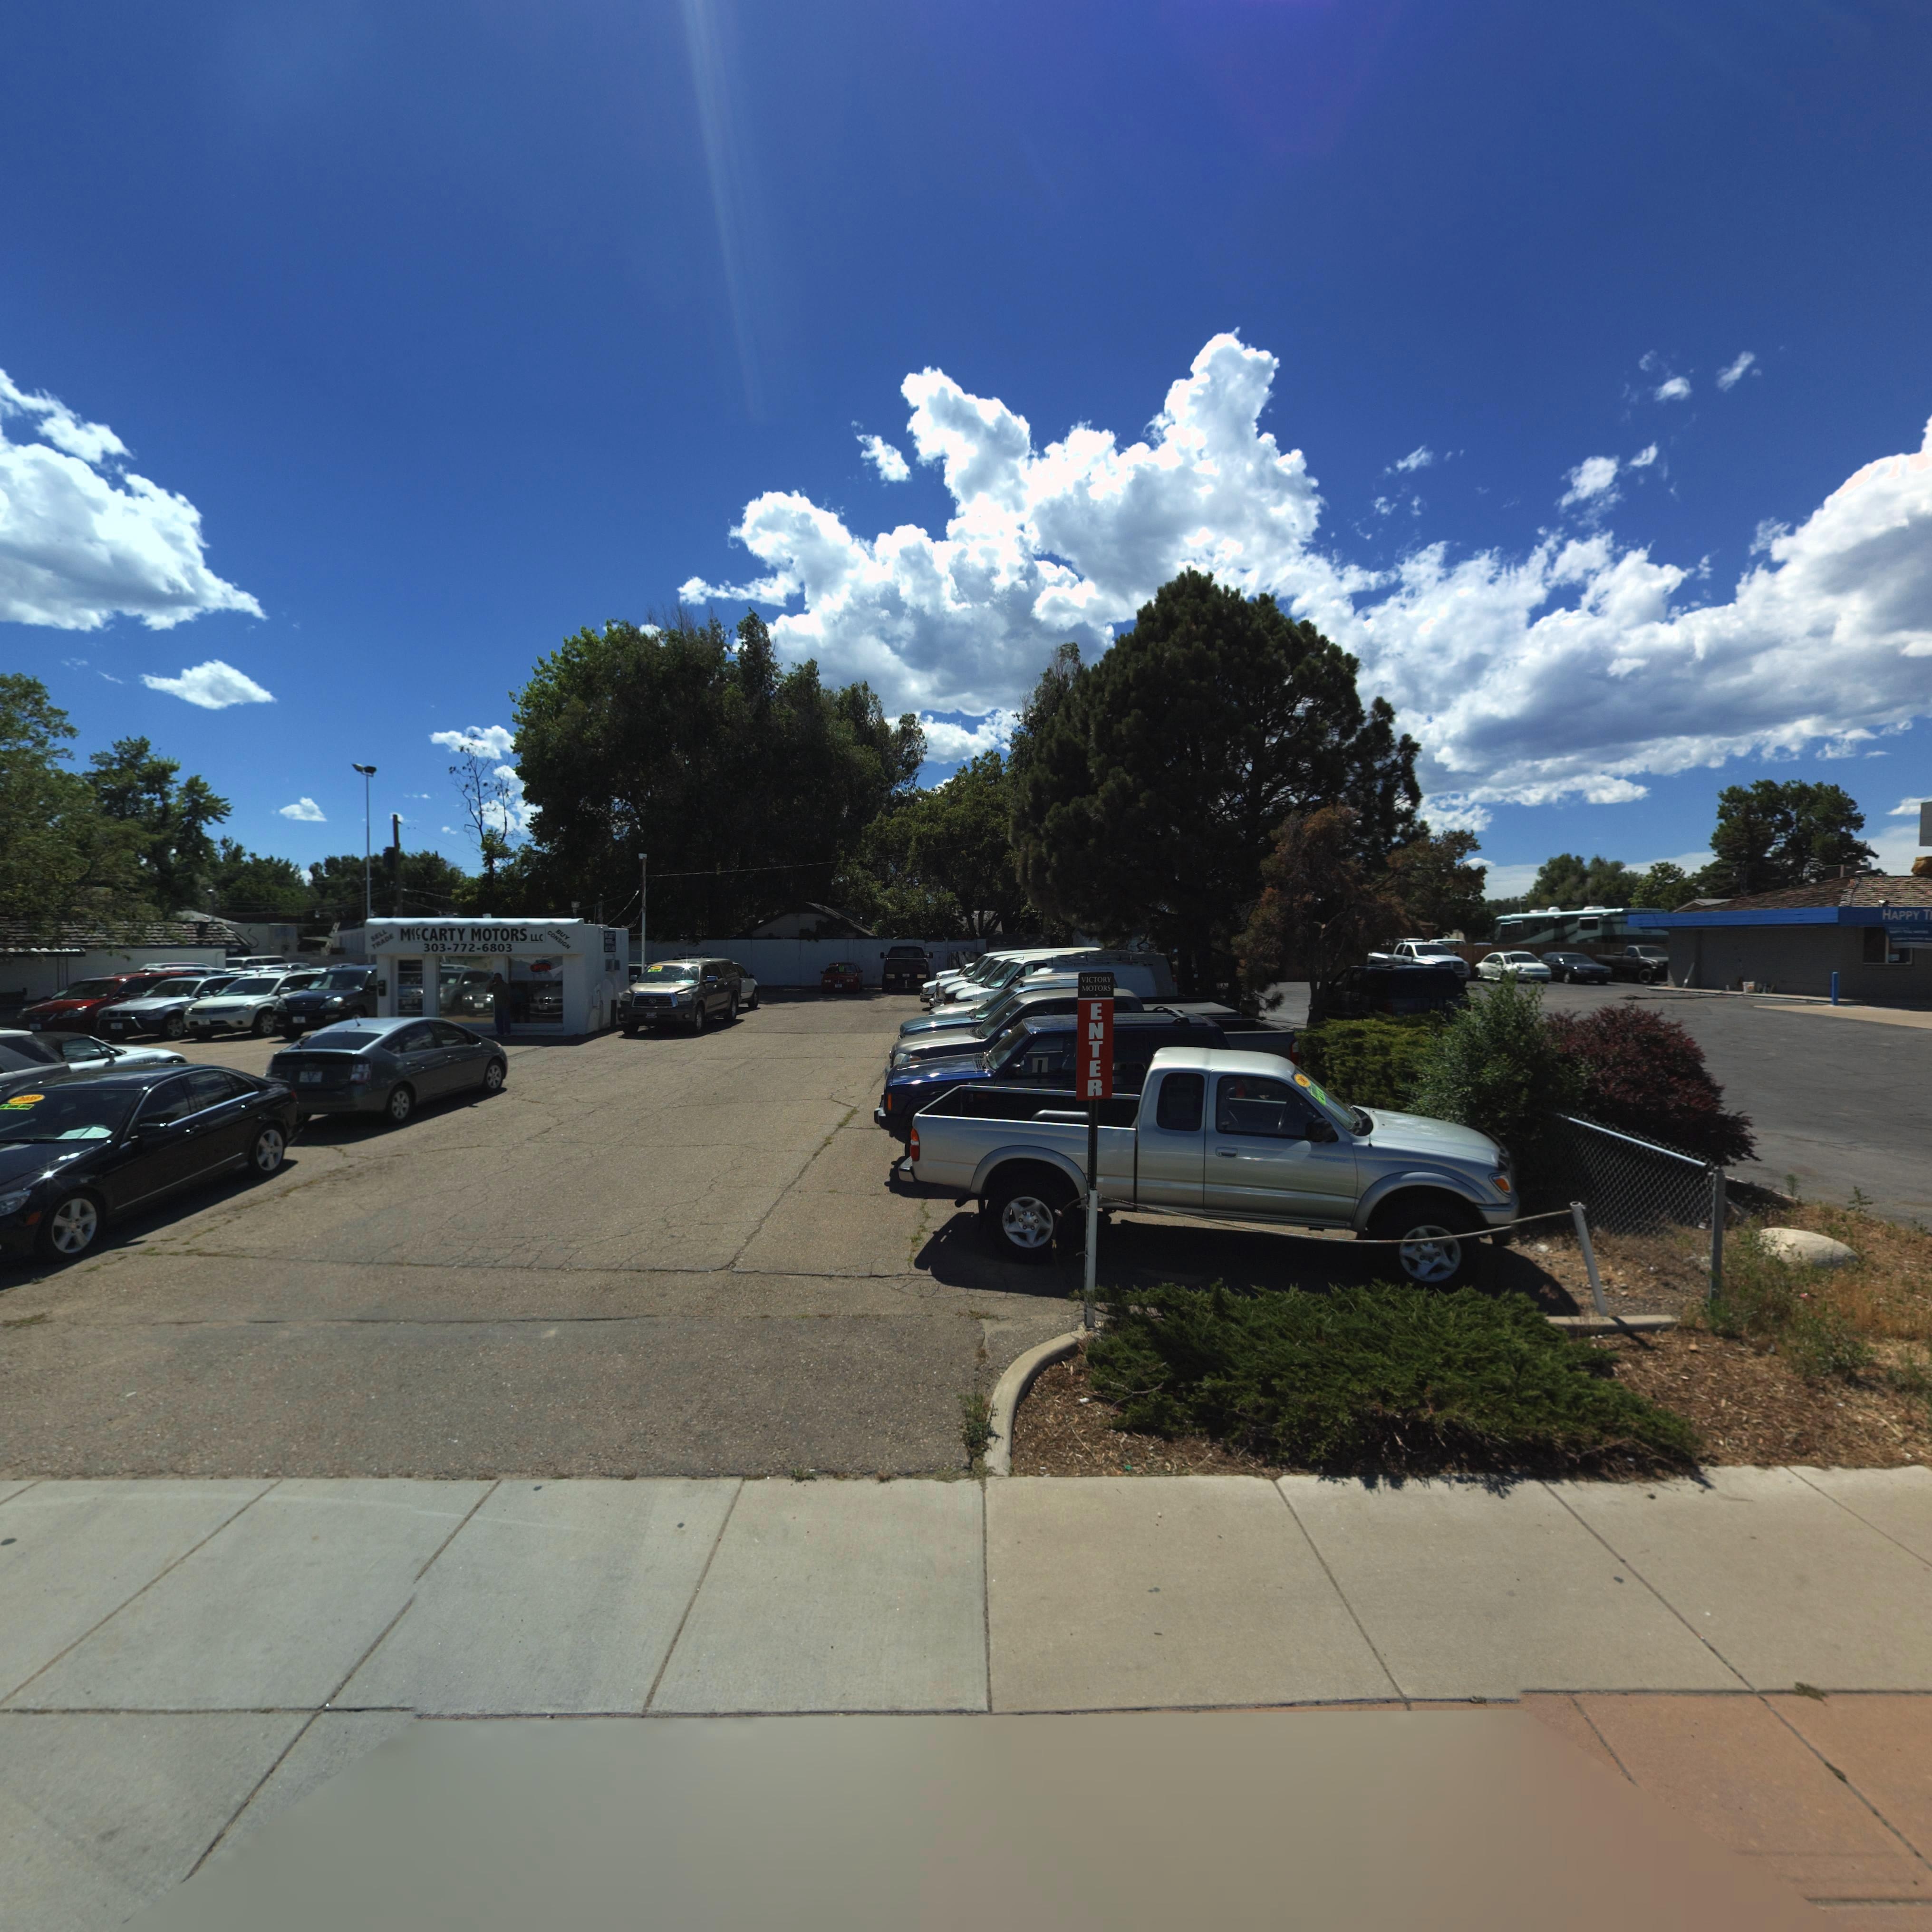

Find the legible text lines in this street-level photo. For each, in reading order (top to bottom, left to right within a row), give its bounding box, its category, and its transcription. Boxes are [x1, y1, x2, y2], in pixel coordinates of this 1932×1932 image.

[1883, 909, 1930, 920] BusinessName: HAPPY T
[401, 927, 527, 941] BusinessName: M*cCARTY MOTORS
[531, 933, 543, 941] BusinessName: LLC
[1081, 976, 1111, 983] BusinessName: VICTORY
[1082, 985, 1111, 991] BusinessName: MOTORS